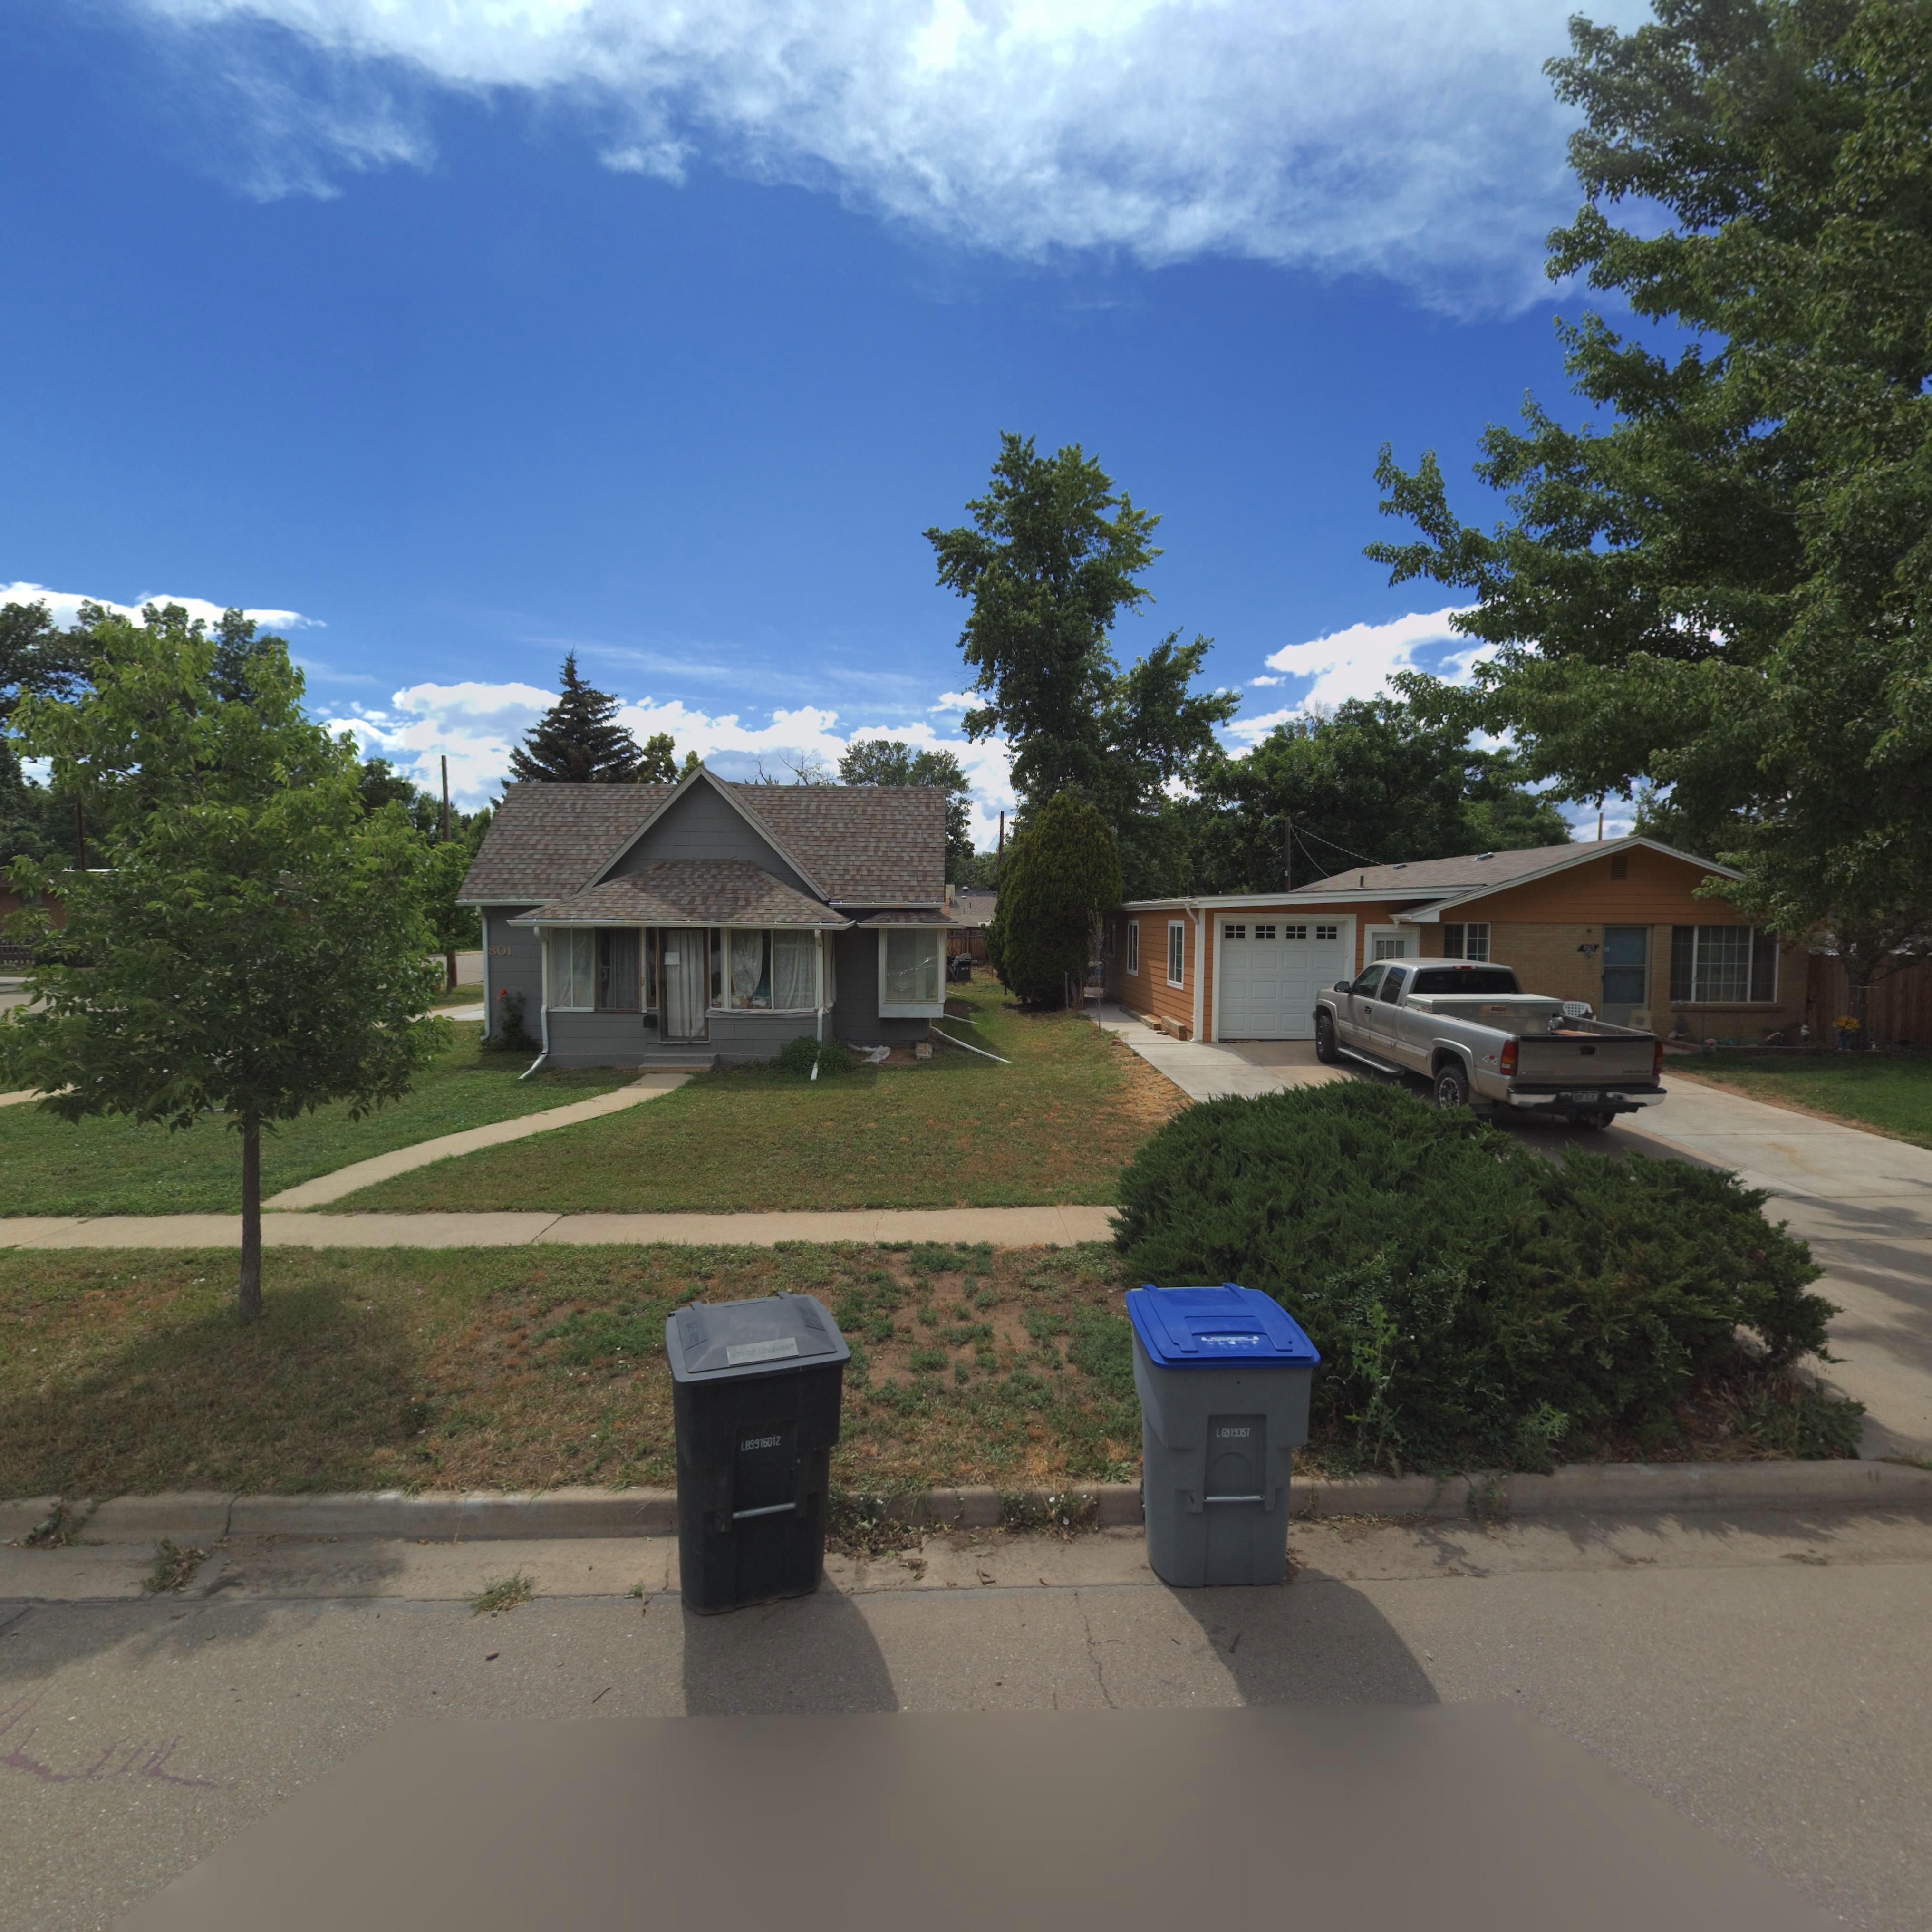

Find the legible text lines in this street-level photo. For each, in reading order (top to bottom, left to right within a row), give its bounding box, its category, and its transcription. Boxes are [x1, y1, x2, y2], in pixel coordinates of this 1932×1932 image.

[488, 946, 512, 956] StreetNumber: 801
[1582, 943, 1595, 951] StreetNumber: 803